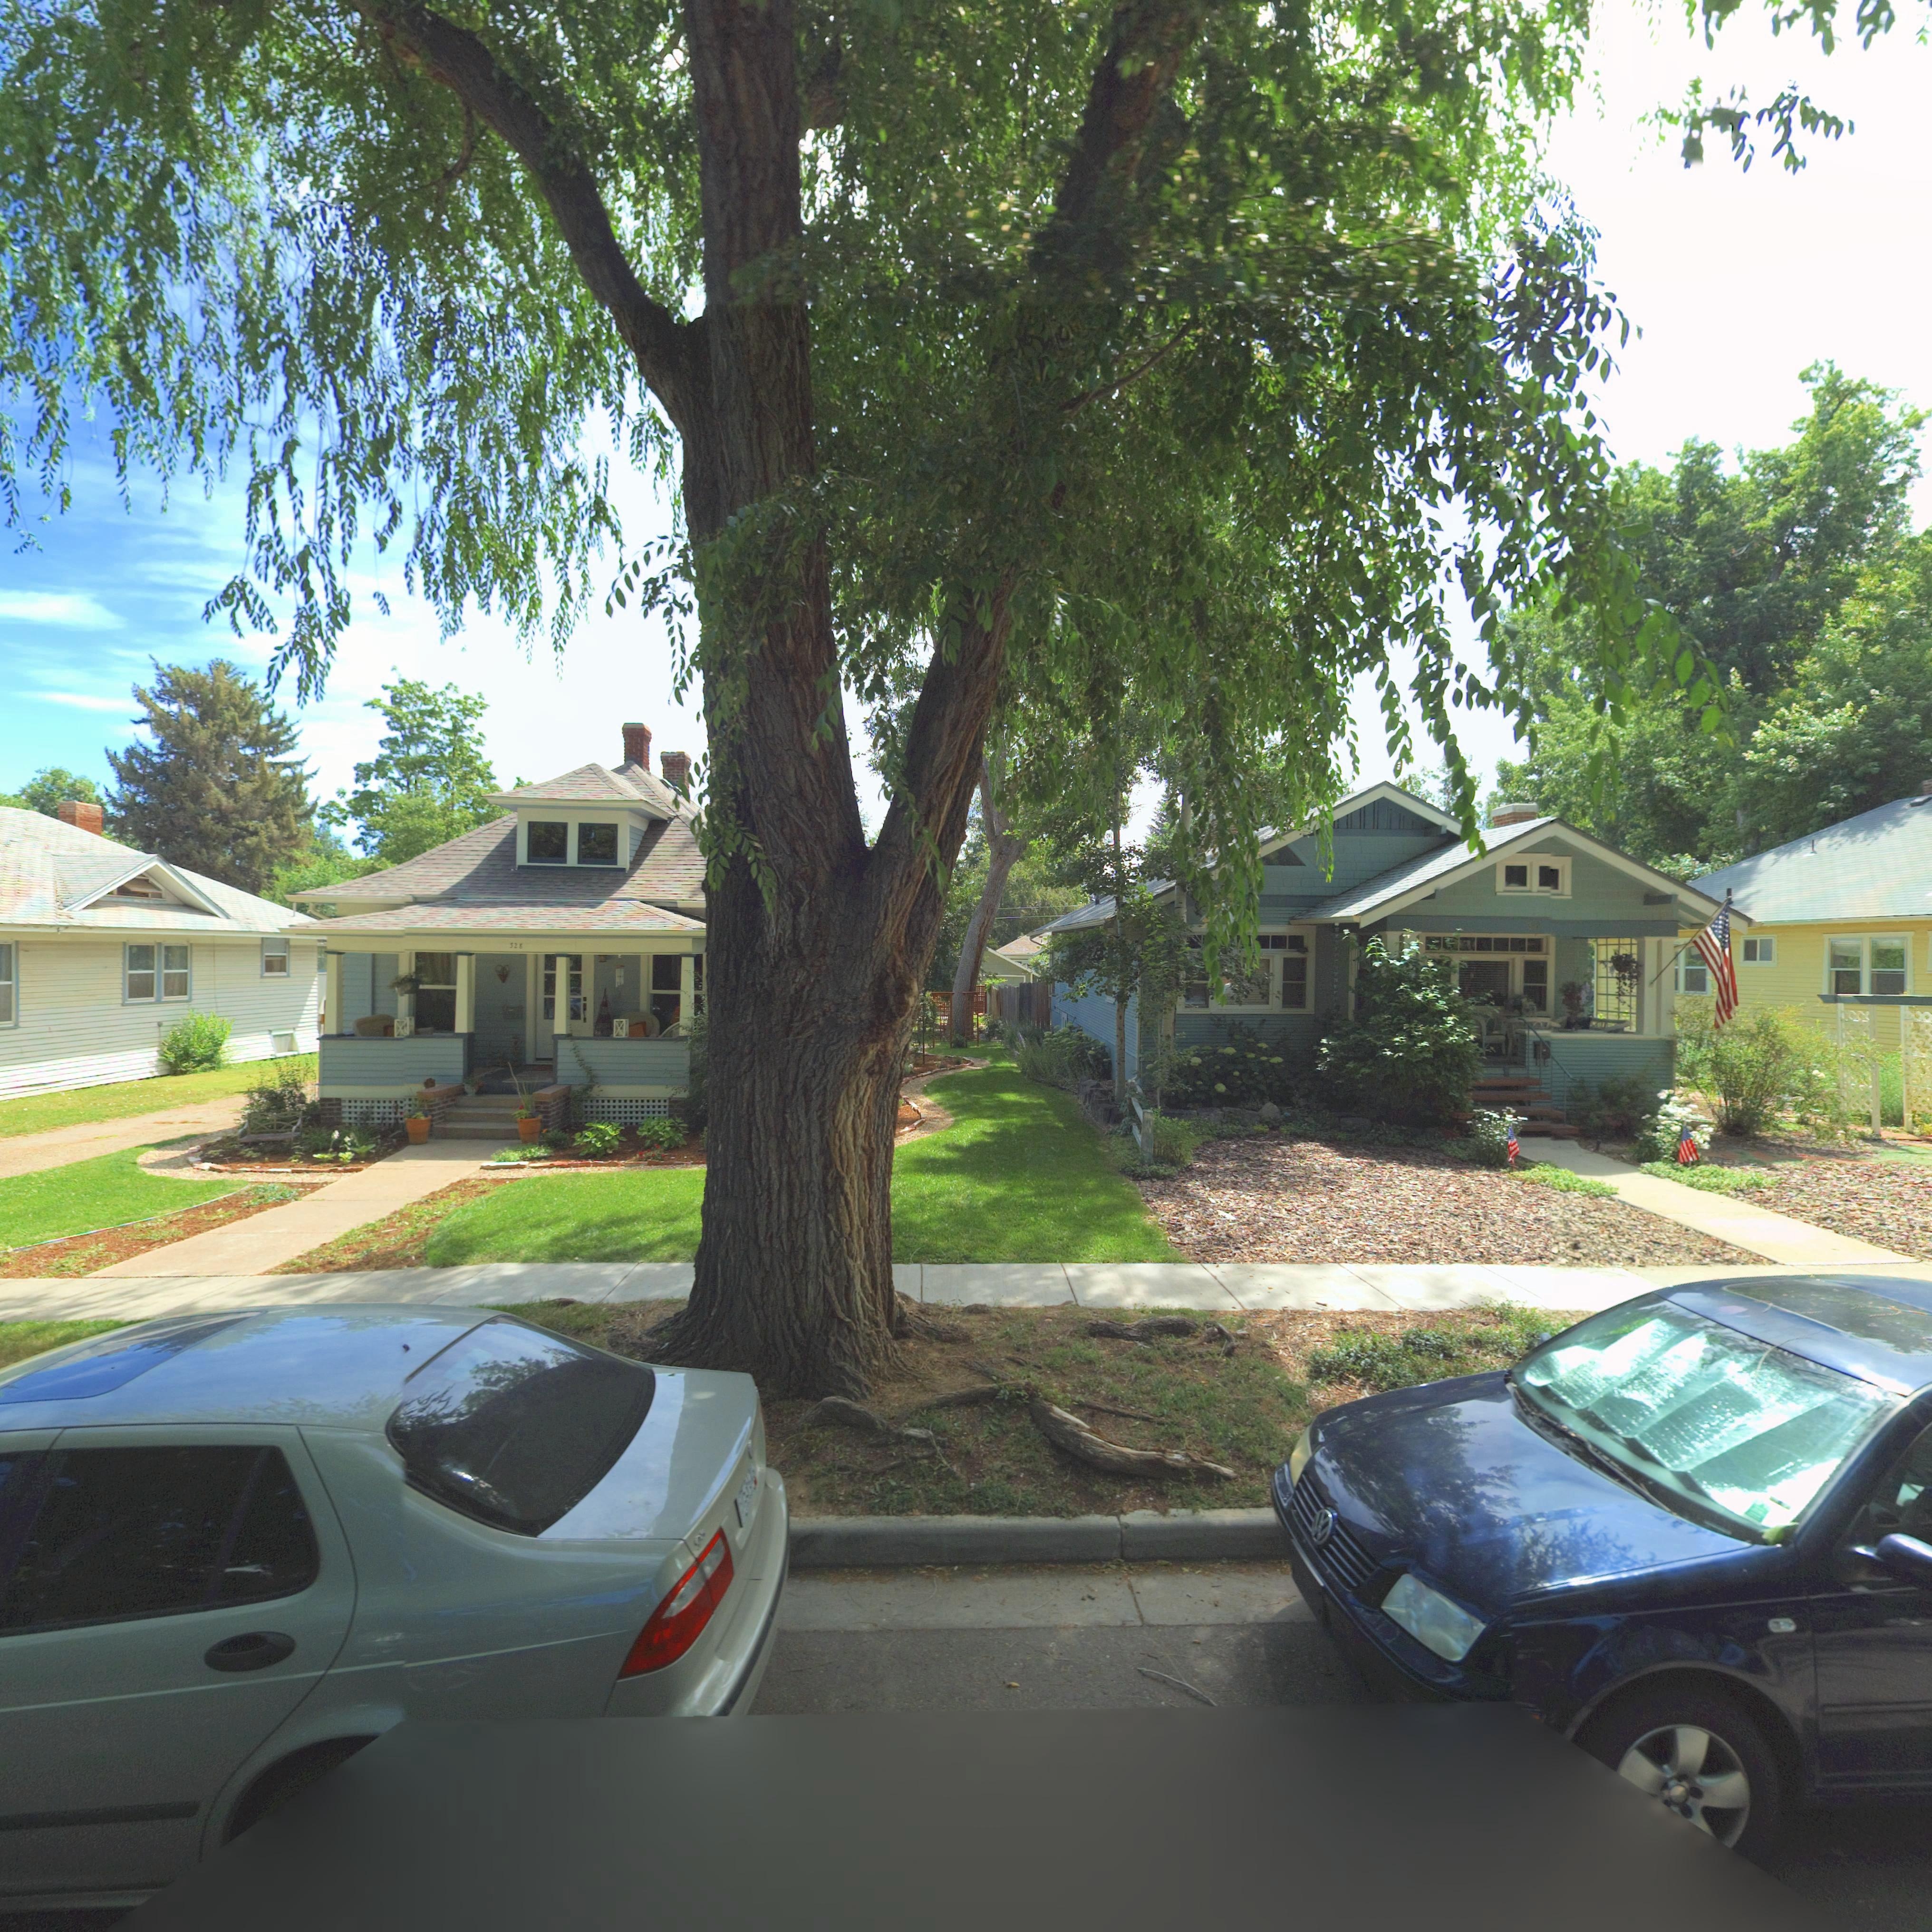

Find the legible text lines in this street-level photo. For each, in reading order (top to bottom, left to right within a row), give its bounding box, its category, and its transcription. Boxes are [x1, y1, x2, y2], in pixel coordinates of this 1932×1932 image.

[509, 942, 523, 949] StreetNumber: 328